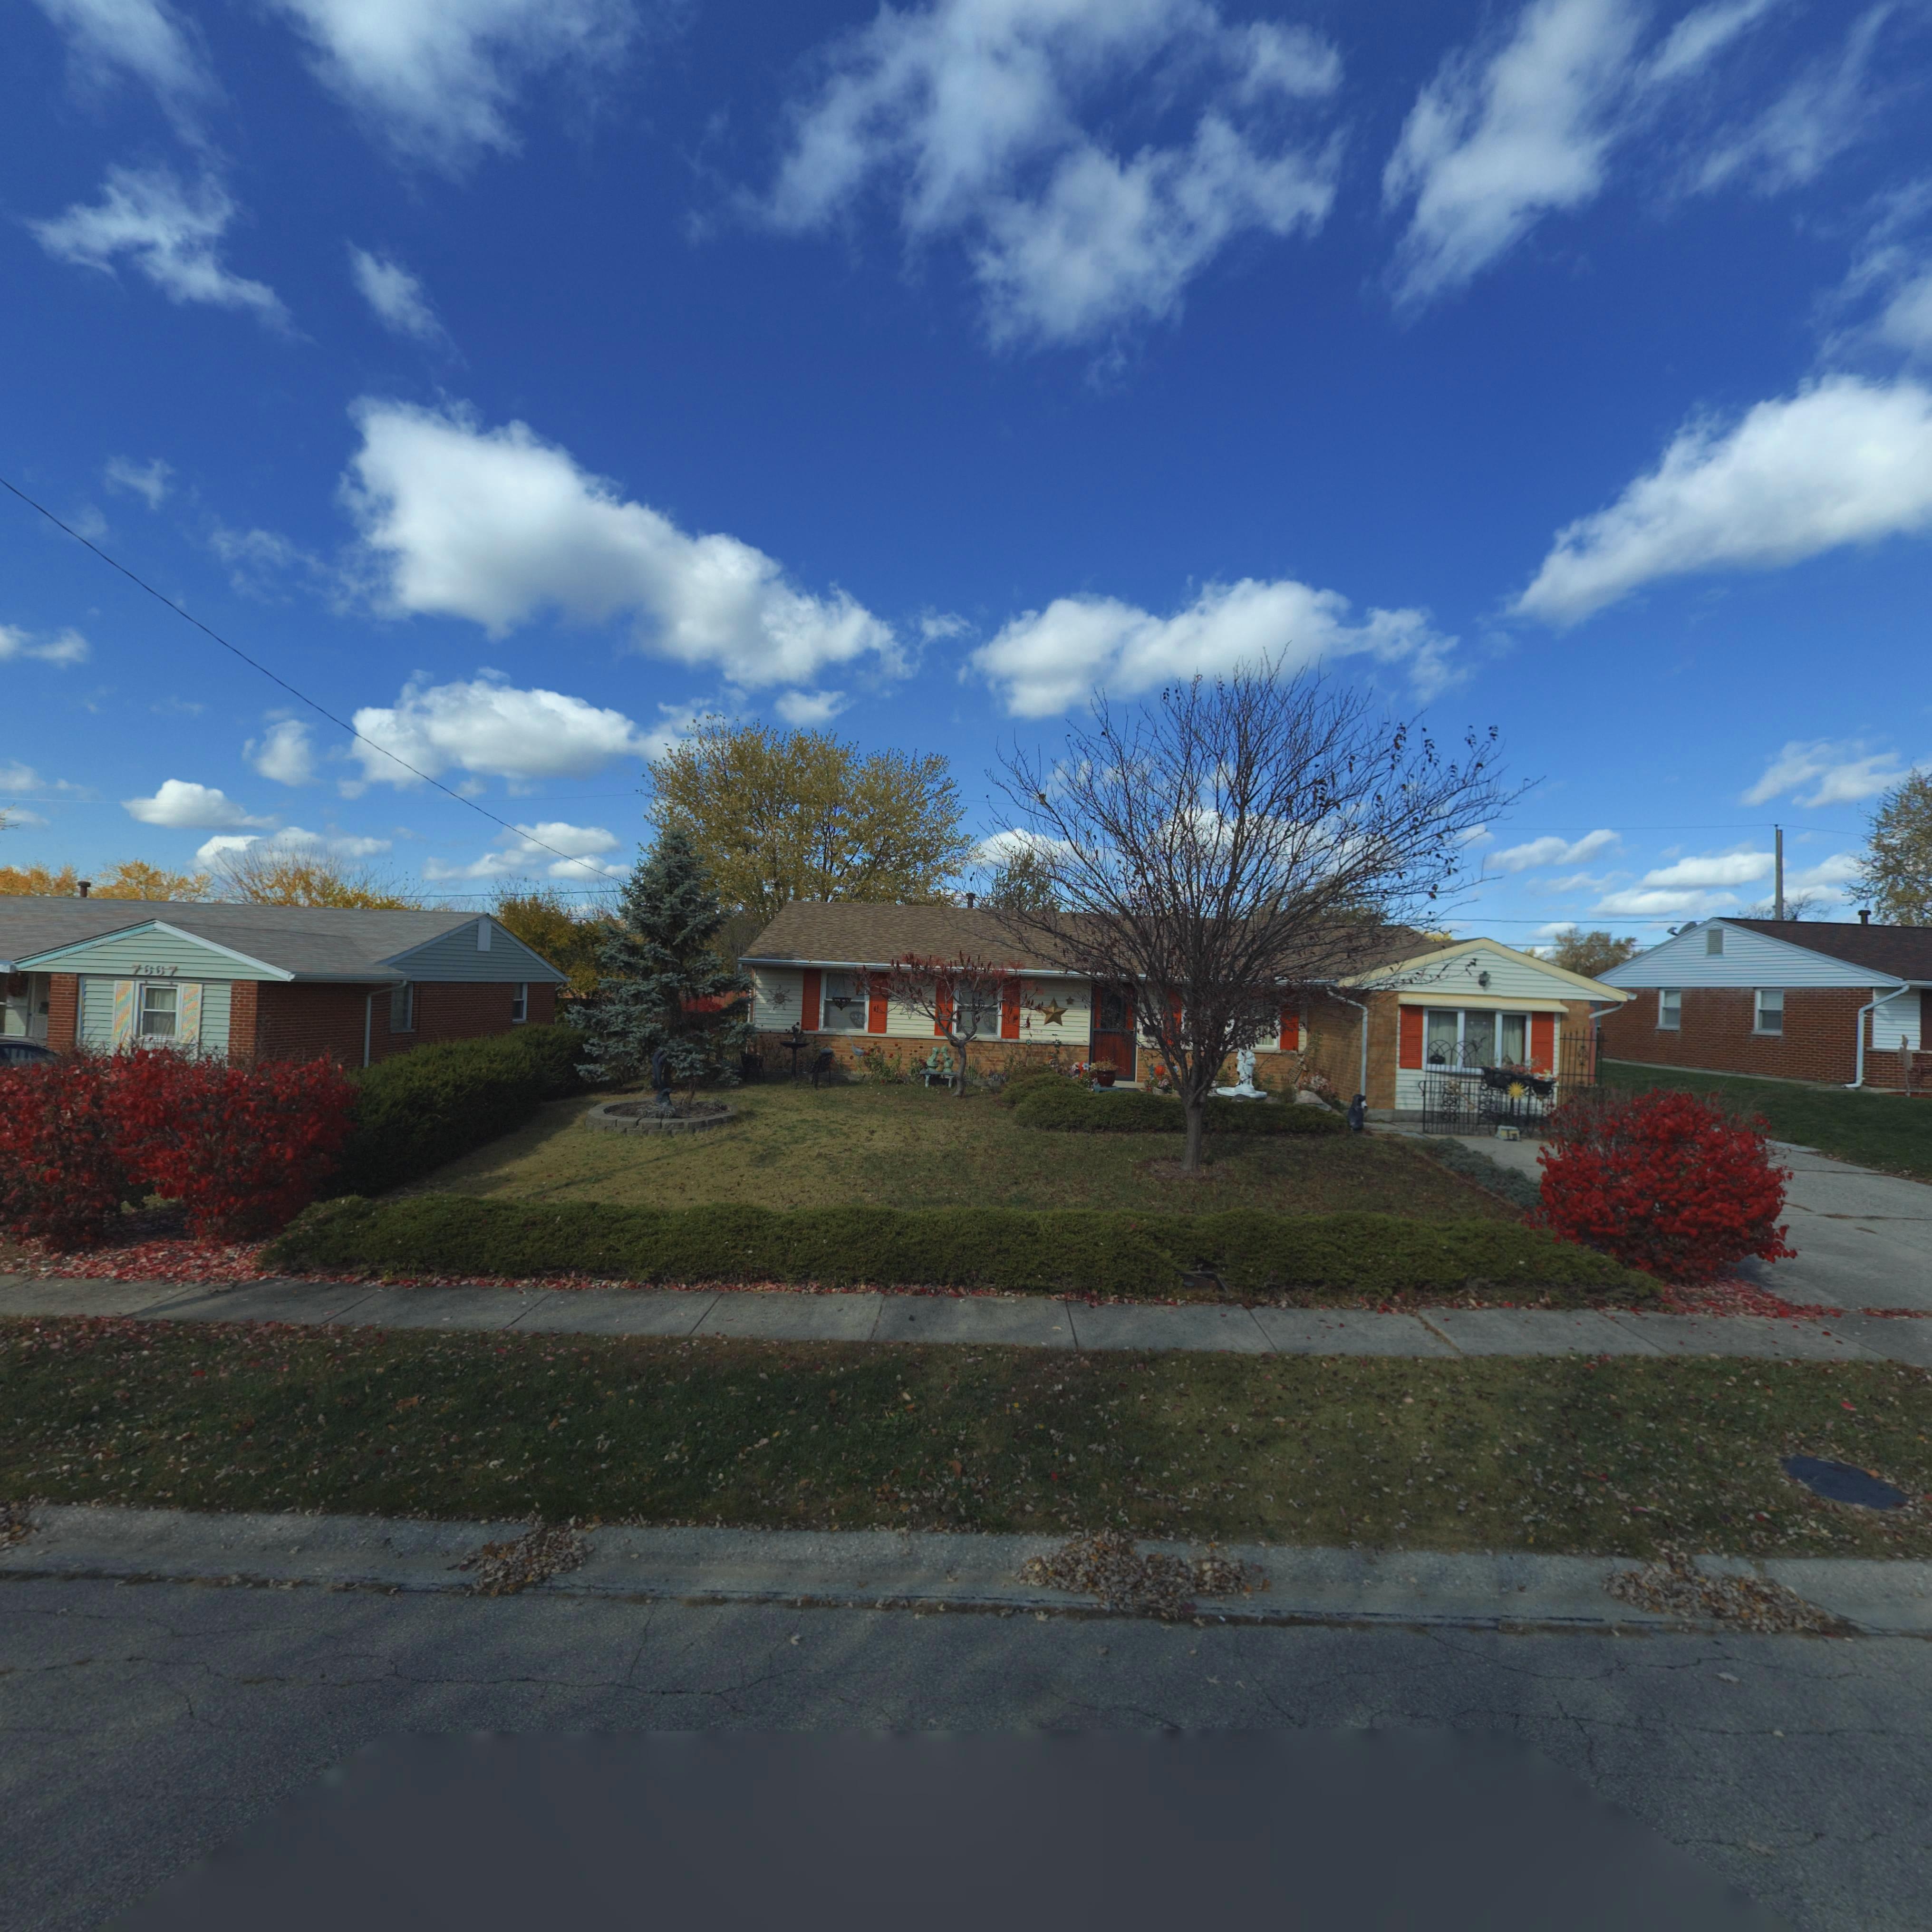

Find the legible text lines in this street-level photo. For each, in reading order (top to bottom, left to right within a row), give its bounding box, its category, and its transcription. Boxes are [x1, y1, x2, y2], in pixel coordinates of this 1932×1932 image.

[132, 963, 179, 976] StreetNumber: 7667